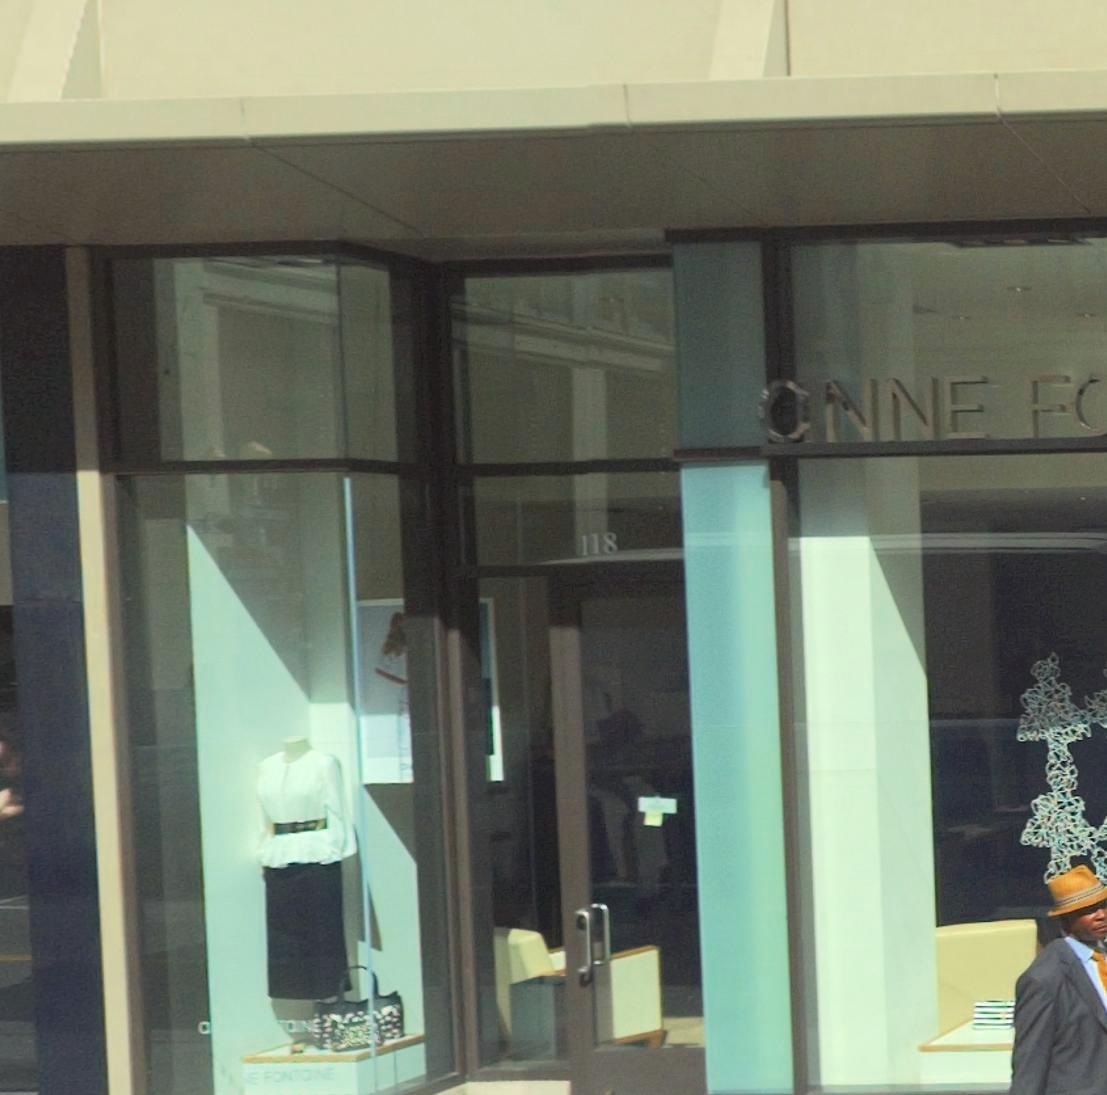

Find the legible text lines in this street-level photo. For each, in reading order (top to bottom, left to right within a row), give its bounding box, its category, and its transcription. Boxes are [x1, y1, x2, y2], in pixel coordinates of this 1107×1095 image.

[746, 370, 1073, 451] BusinessName: *NNE F
[579, 529, 621, 559] StreetNumber: 118
[262, 1066, 338, 1085] None: FONTONE